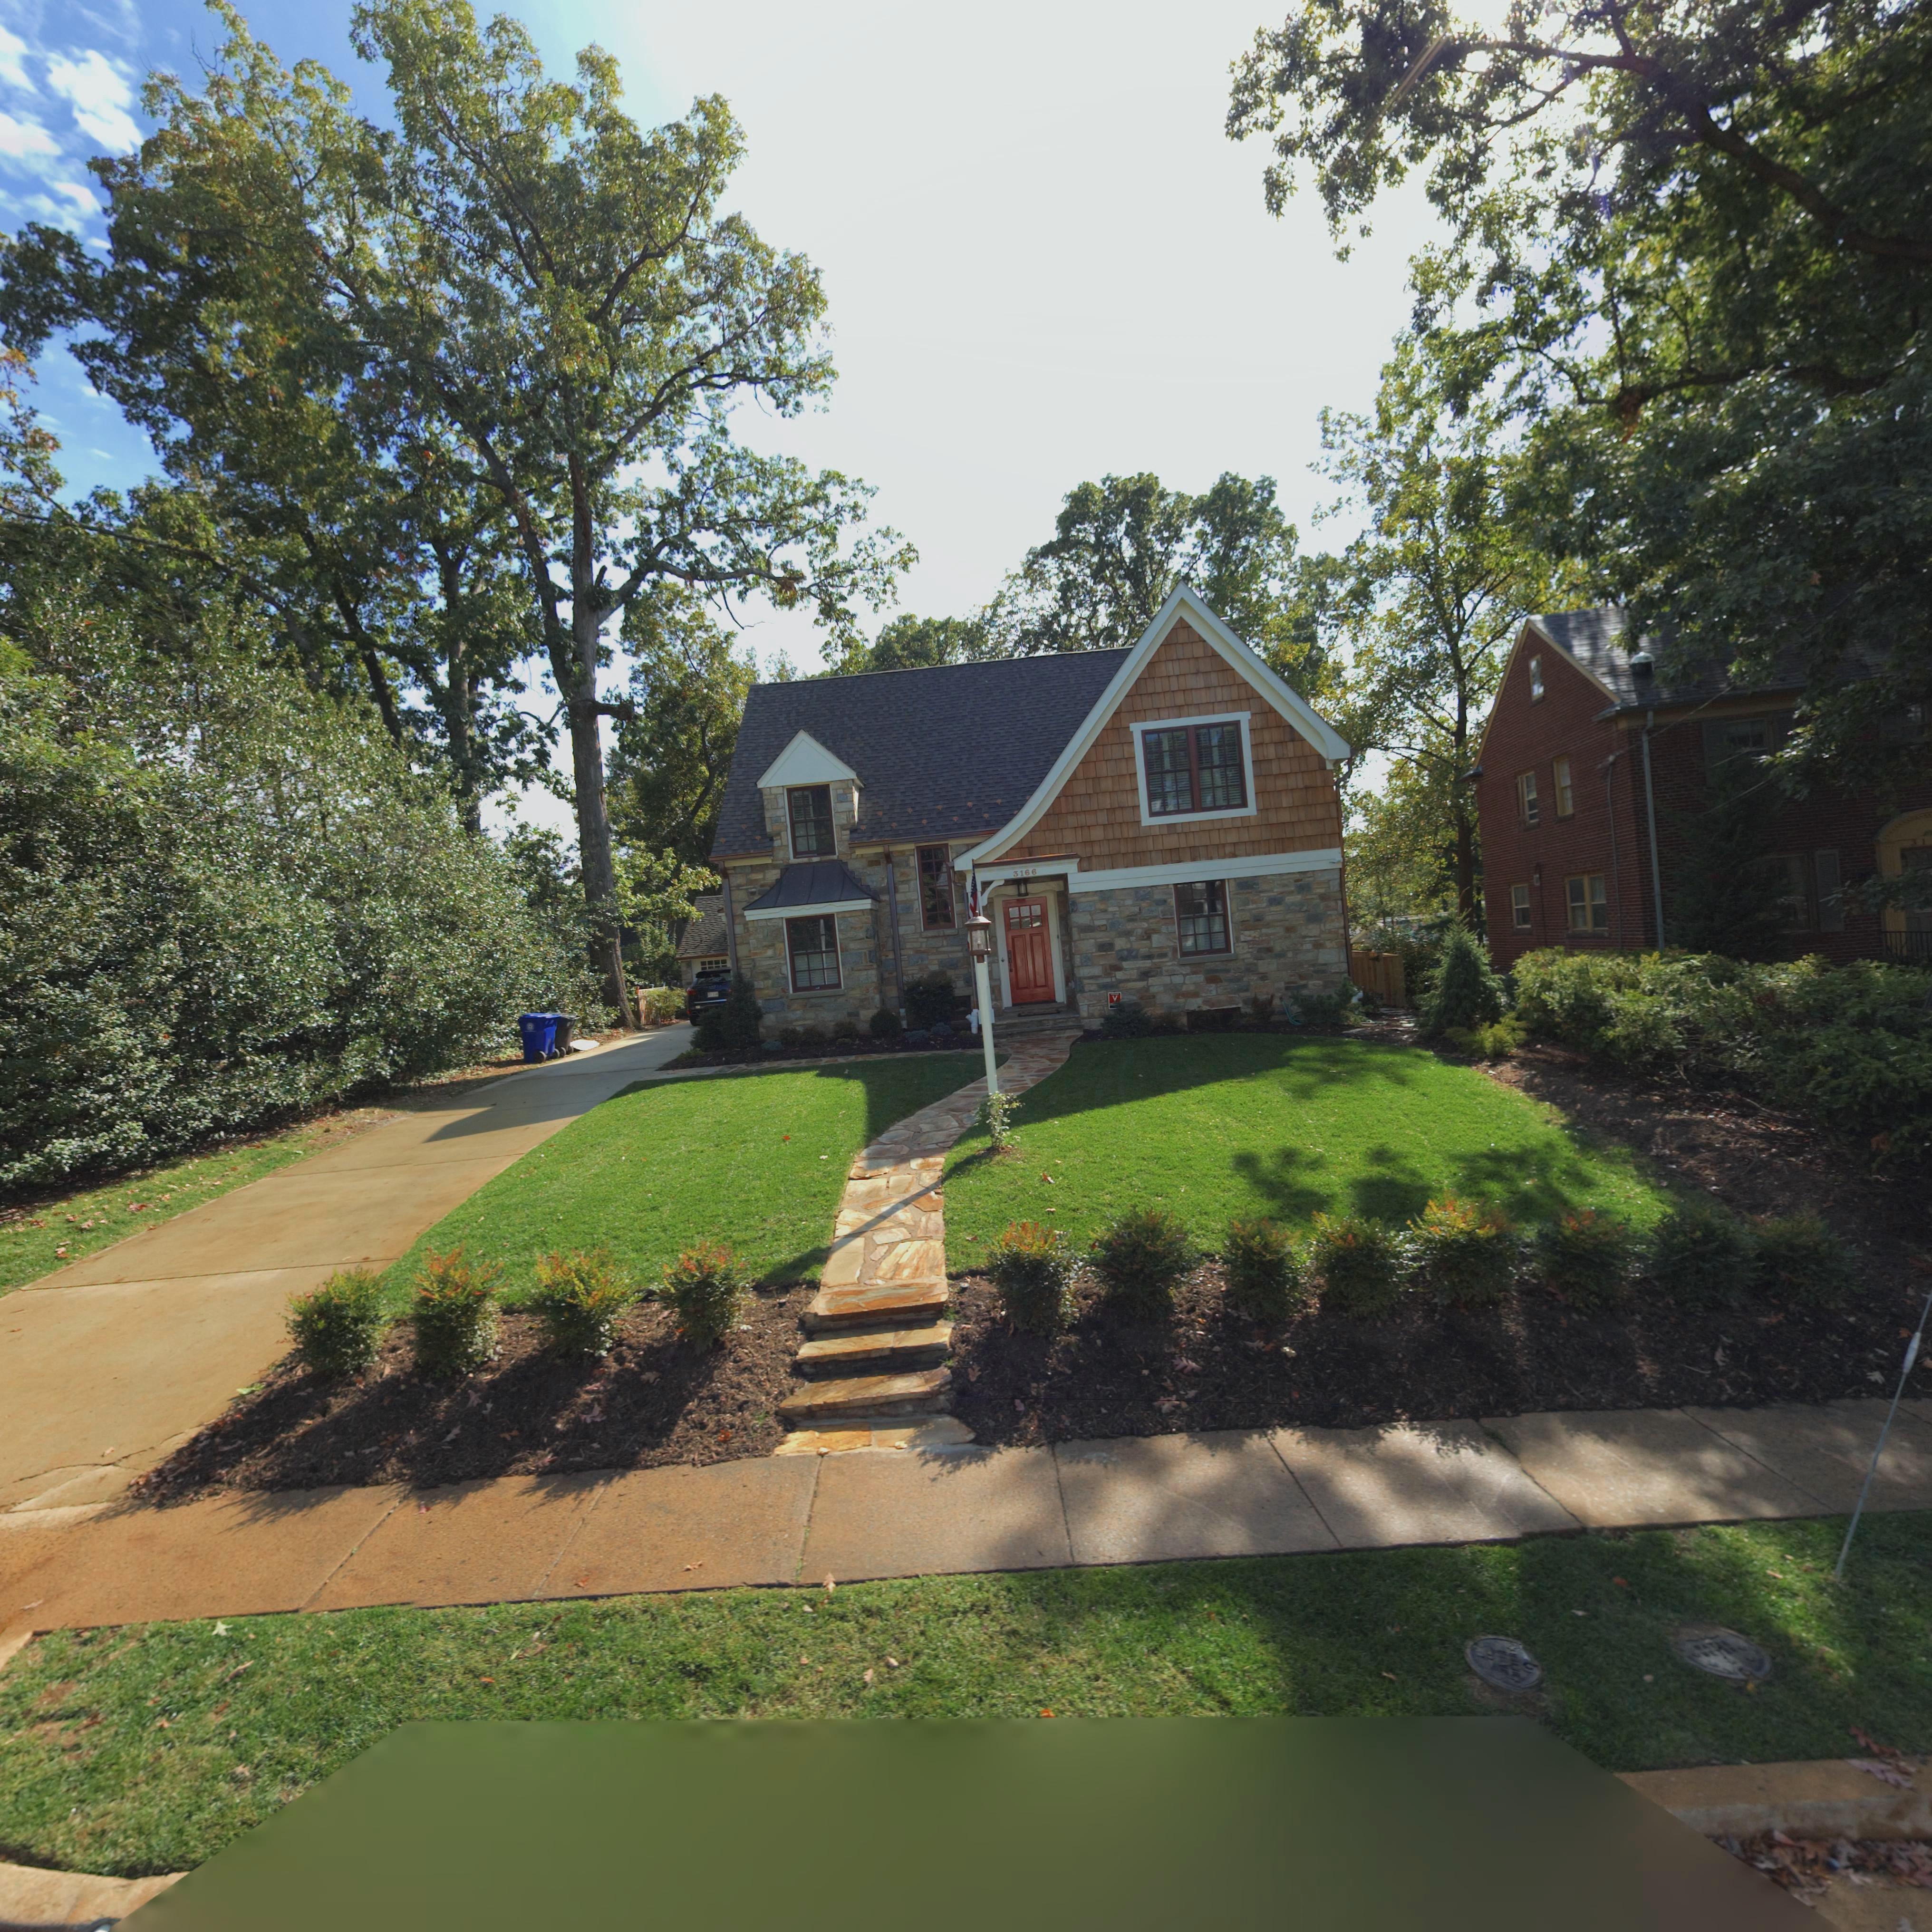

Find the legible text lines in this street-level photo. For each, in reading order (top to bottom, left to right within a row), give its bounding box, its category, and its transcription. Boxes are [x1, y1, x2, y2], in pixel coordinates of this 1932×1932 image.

[1012, 867, 1038, 878] StreetNumber: 3166
[1111, 994, 1119, 1003] None: V